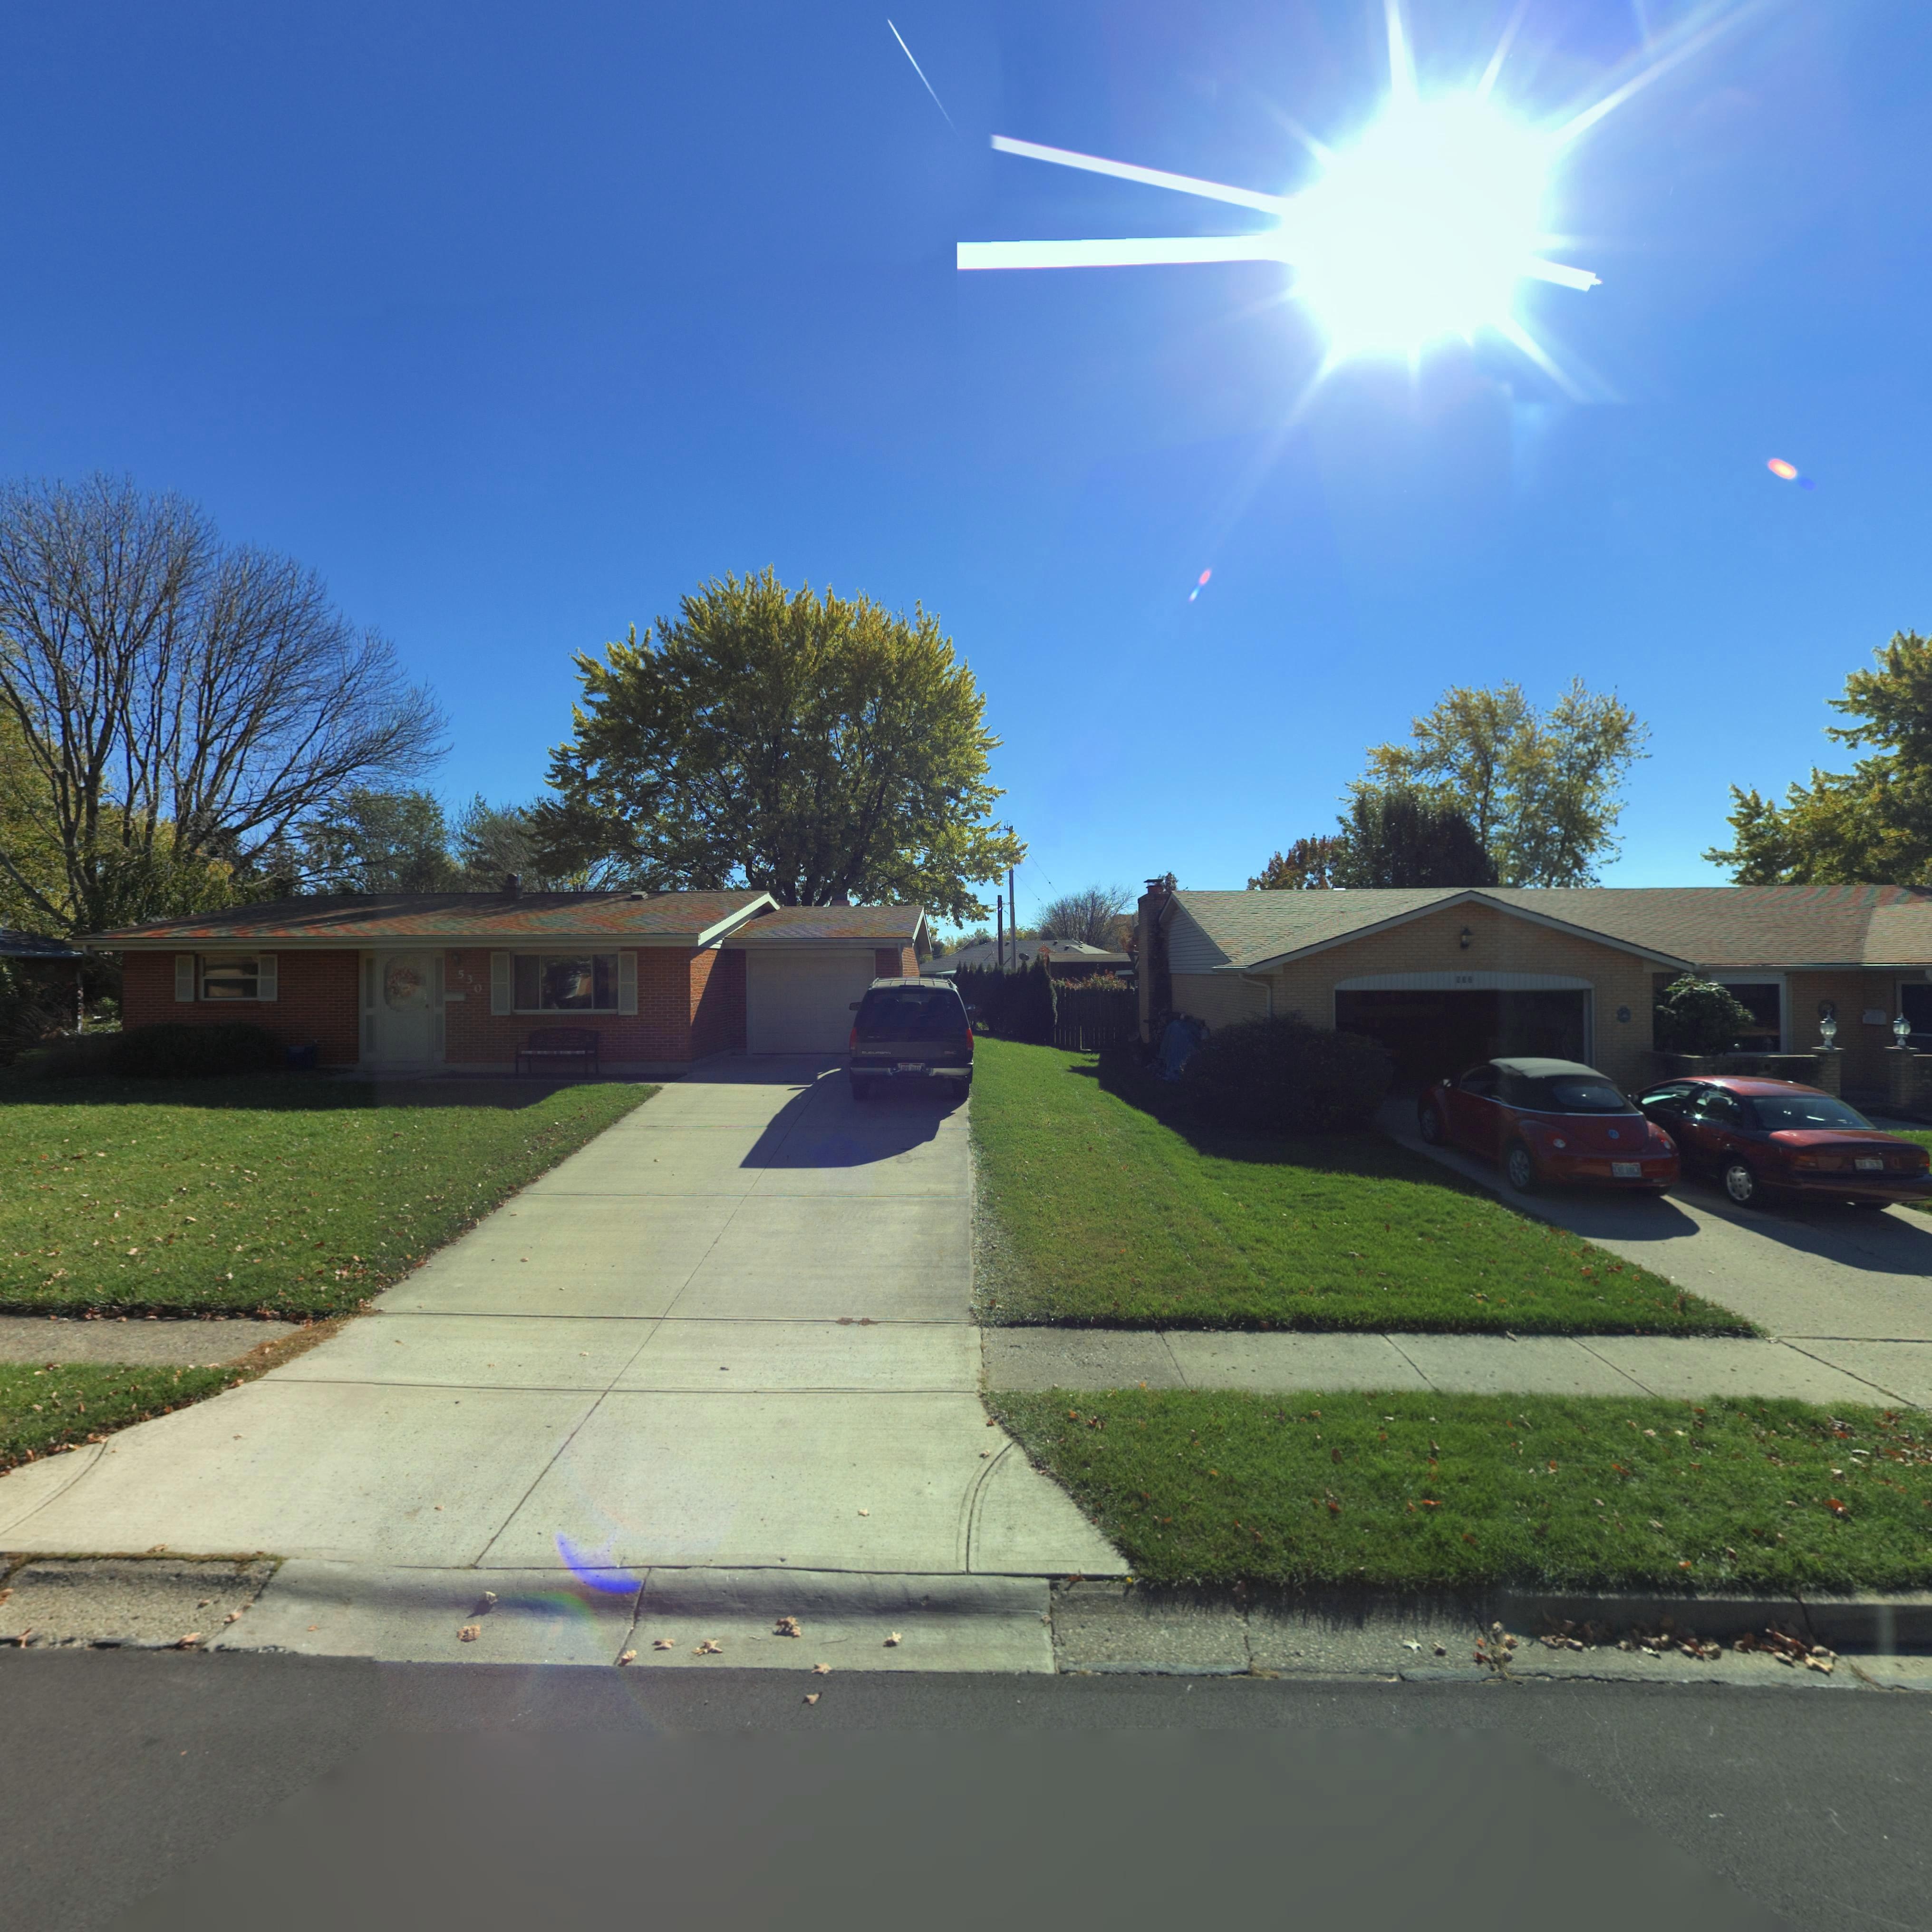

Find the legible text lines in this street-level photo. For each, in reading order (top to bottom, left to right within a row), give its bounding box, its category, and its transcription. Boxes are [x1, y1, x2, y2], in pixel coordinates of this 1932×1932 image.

[456, 969, 483, 995] StreetNumber: 530
[952, 1050, 957, 1055] None: C
[909, 1065, 921, 1072] None: 3912
[1866, 1160, 1883, 1169] None: 7*38